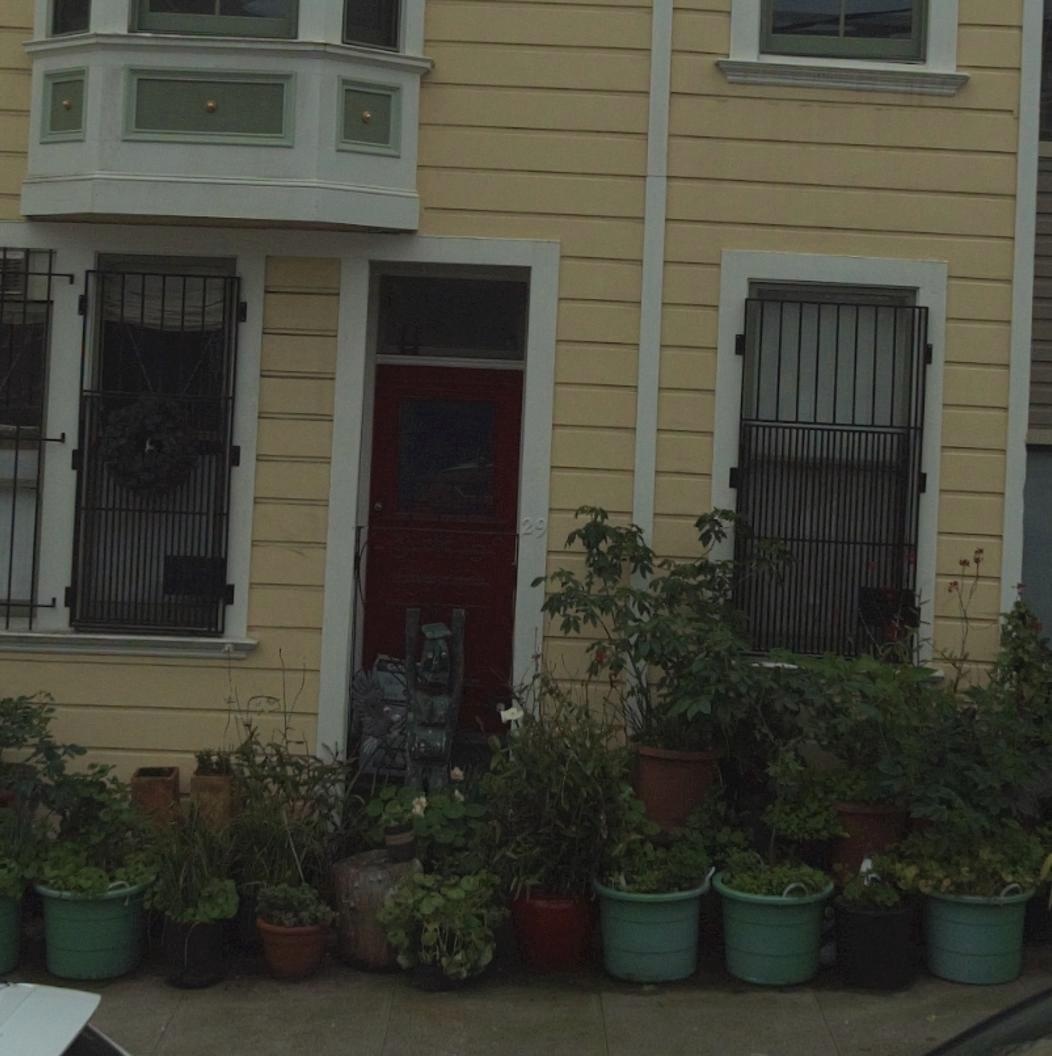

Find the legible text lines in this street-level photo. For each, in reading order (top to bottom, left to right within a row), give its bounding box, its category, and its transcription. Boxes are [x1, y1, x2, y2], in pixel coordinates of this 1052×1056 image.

[520, 516, 548, 540] StreetNumber: 29